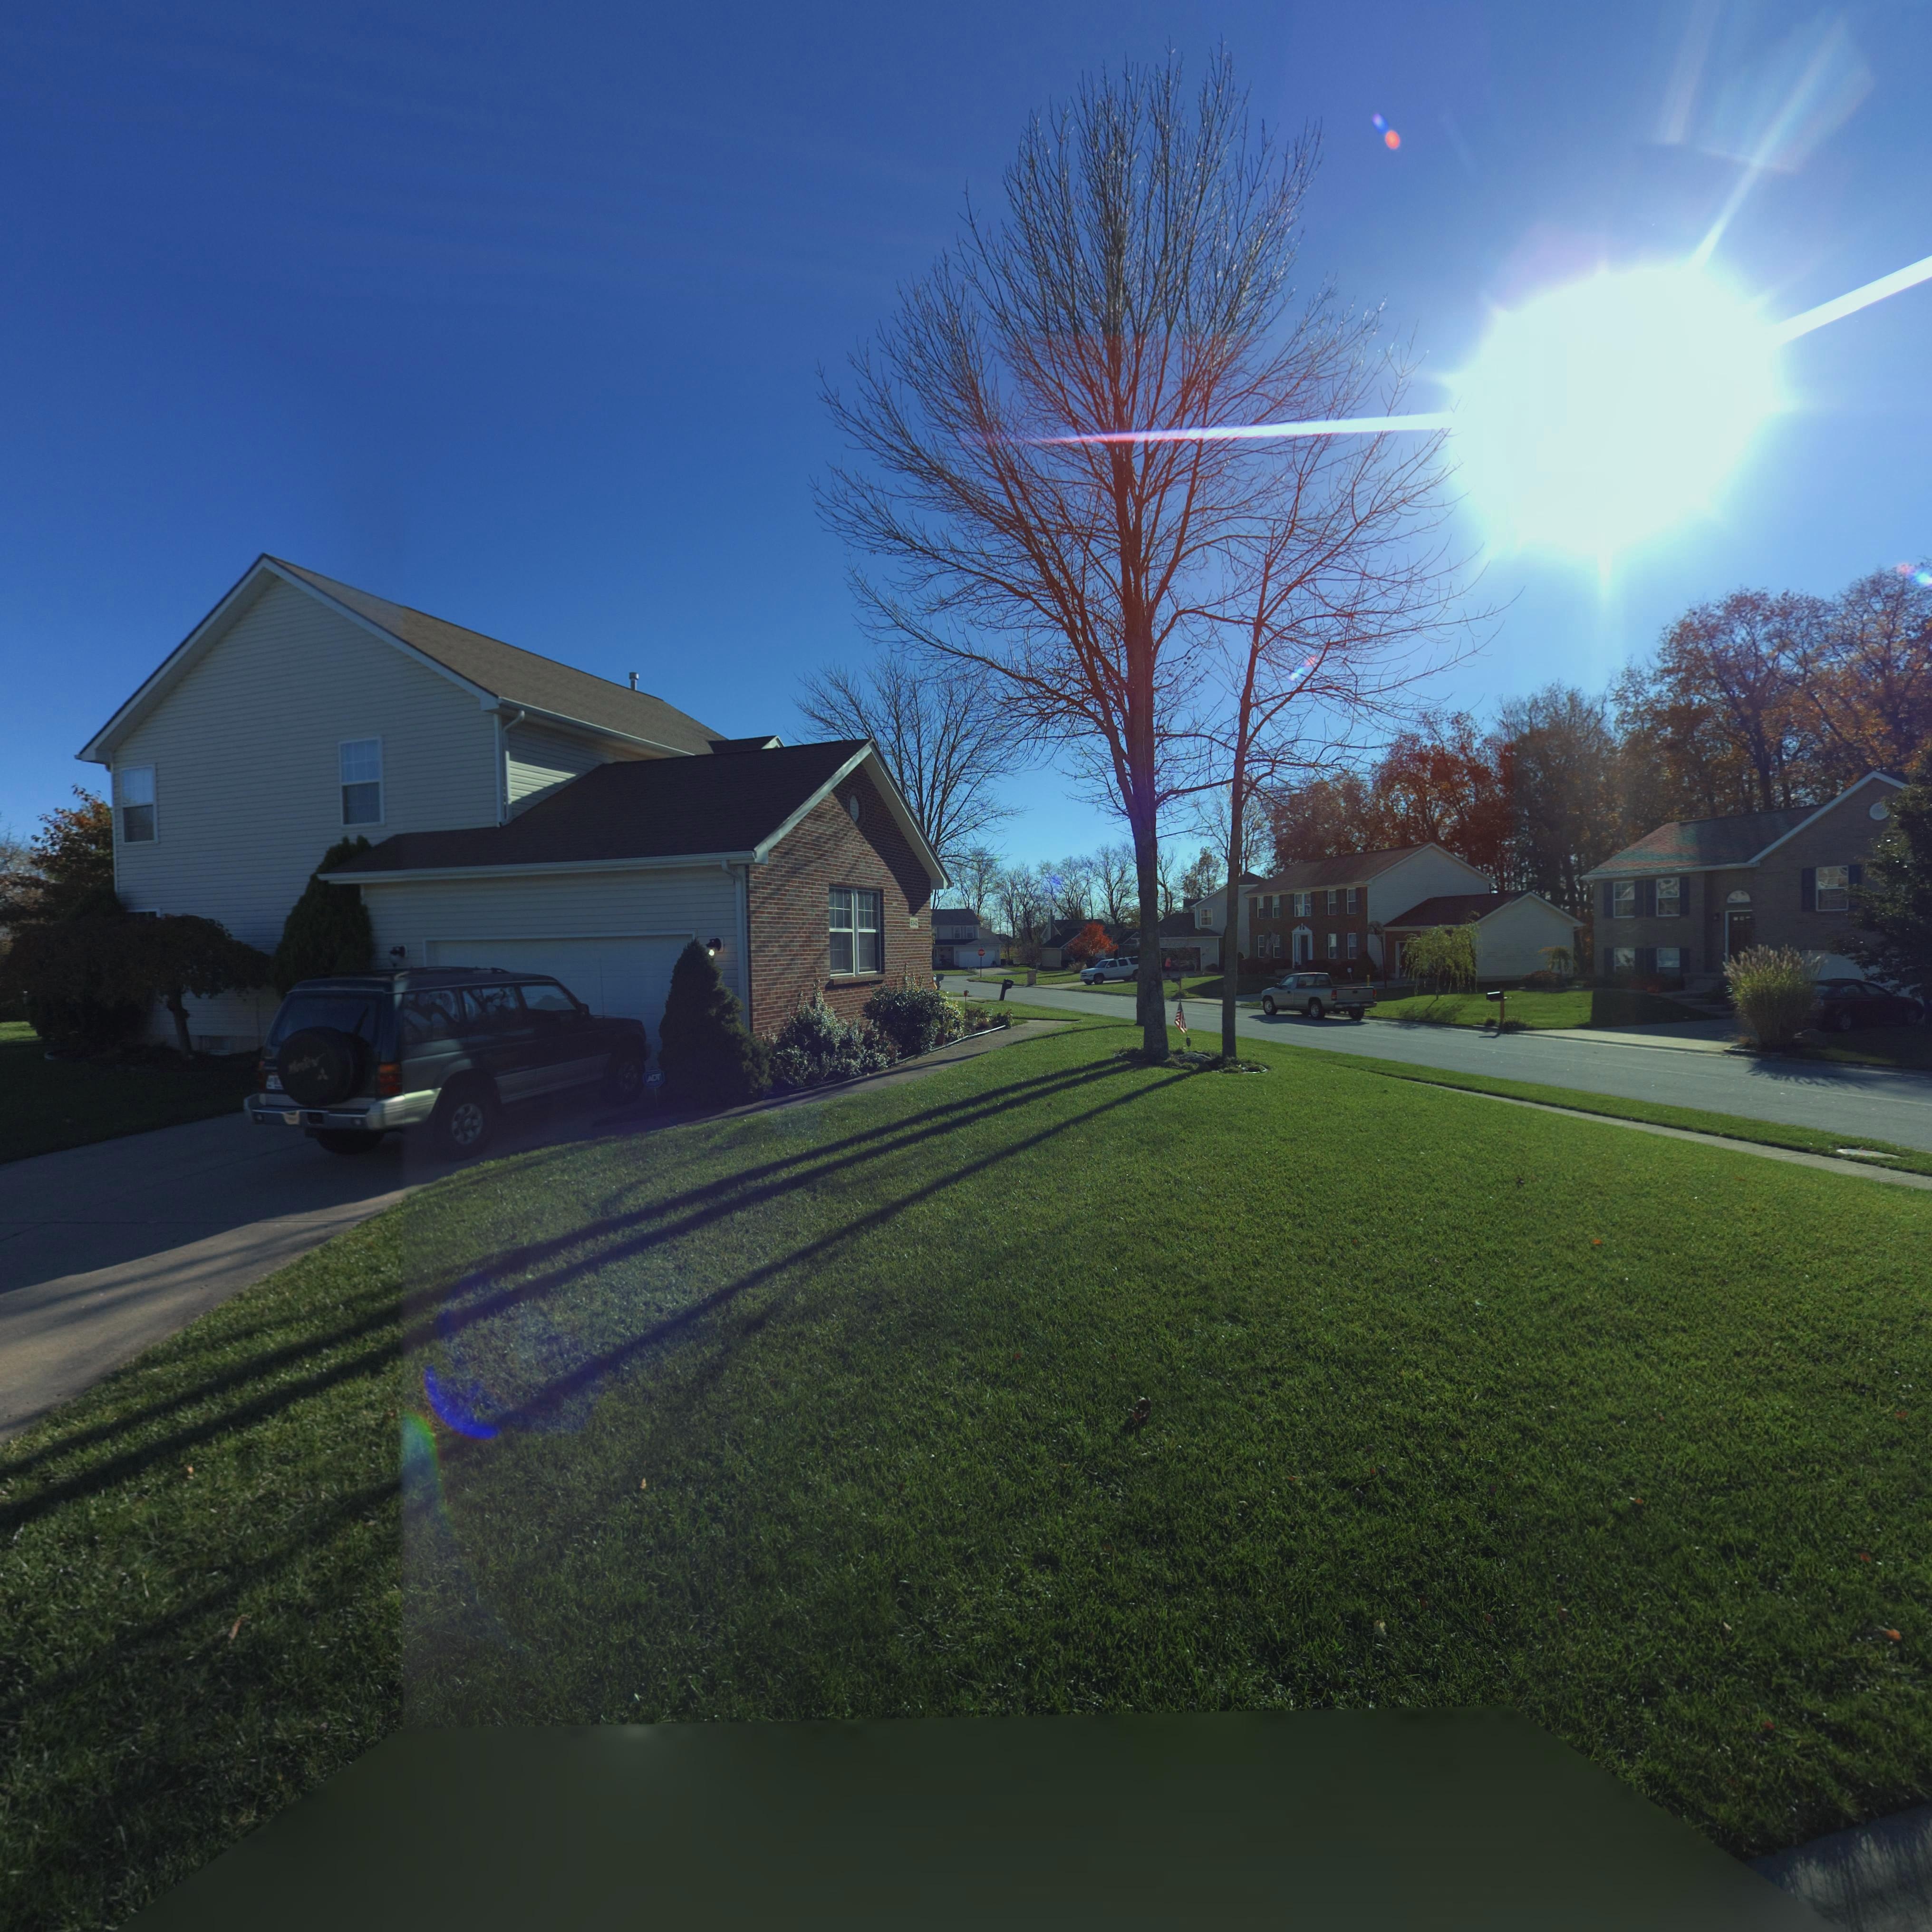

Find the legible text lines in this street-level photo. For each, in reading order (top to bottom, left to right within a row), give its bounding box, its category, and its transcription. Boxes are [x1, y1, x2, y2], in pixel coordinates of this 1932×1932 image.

[910, 919, 918, 926] StreetNumber: 6342